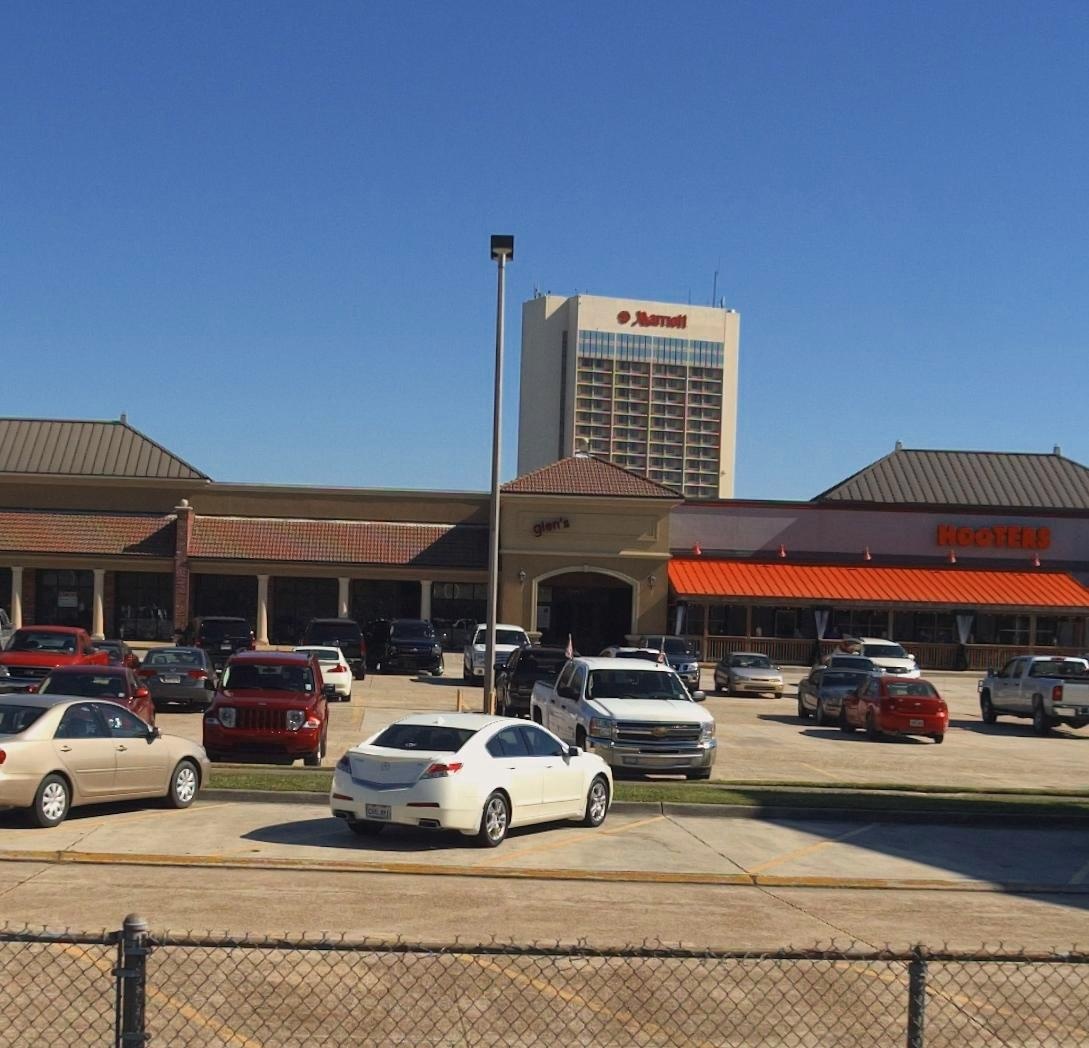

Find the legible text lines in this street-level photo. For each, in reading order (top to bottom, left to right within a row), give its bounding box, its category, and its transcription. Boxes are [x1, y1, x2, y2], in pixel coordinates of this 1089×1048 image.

[628, 309, 689, 331] BusinessName: Marriott
[532, 513, 577, 539] BusinessName: glen's
[937, 524, 1053, 550] BusinessName: HOOTERS